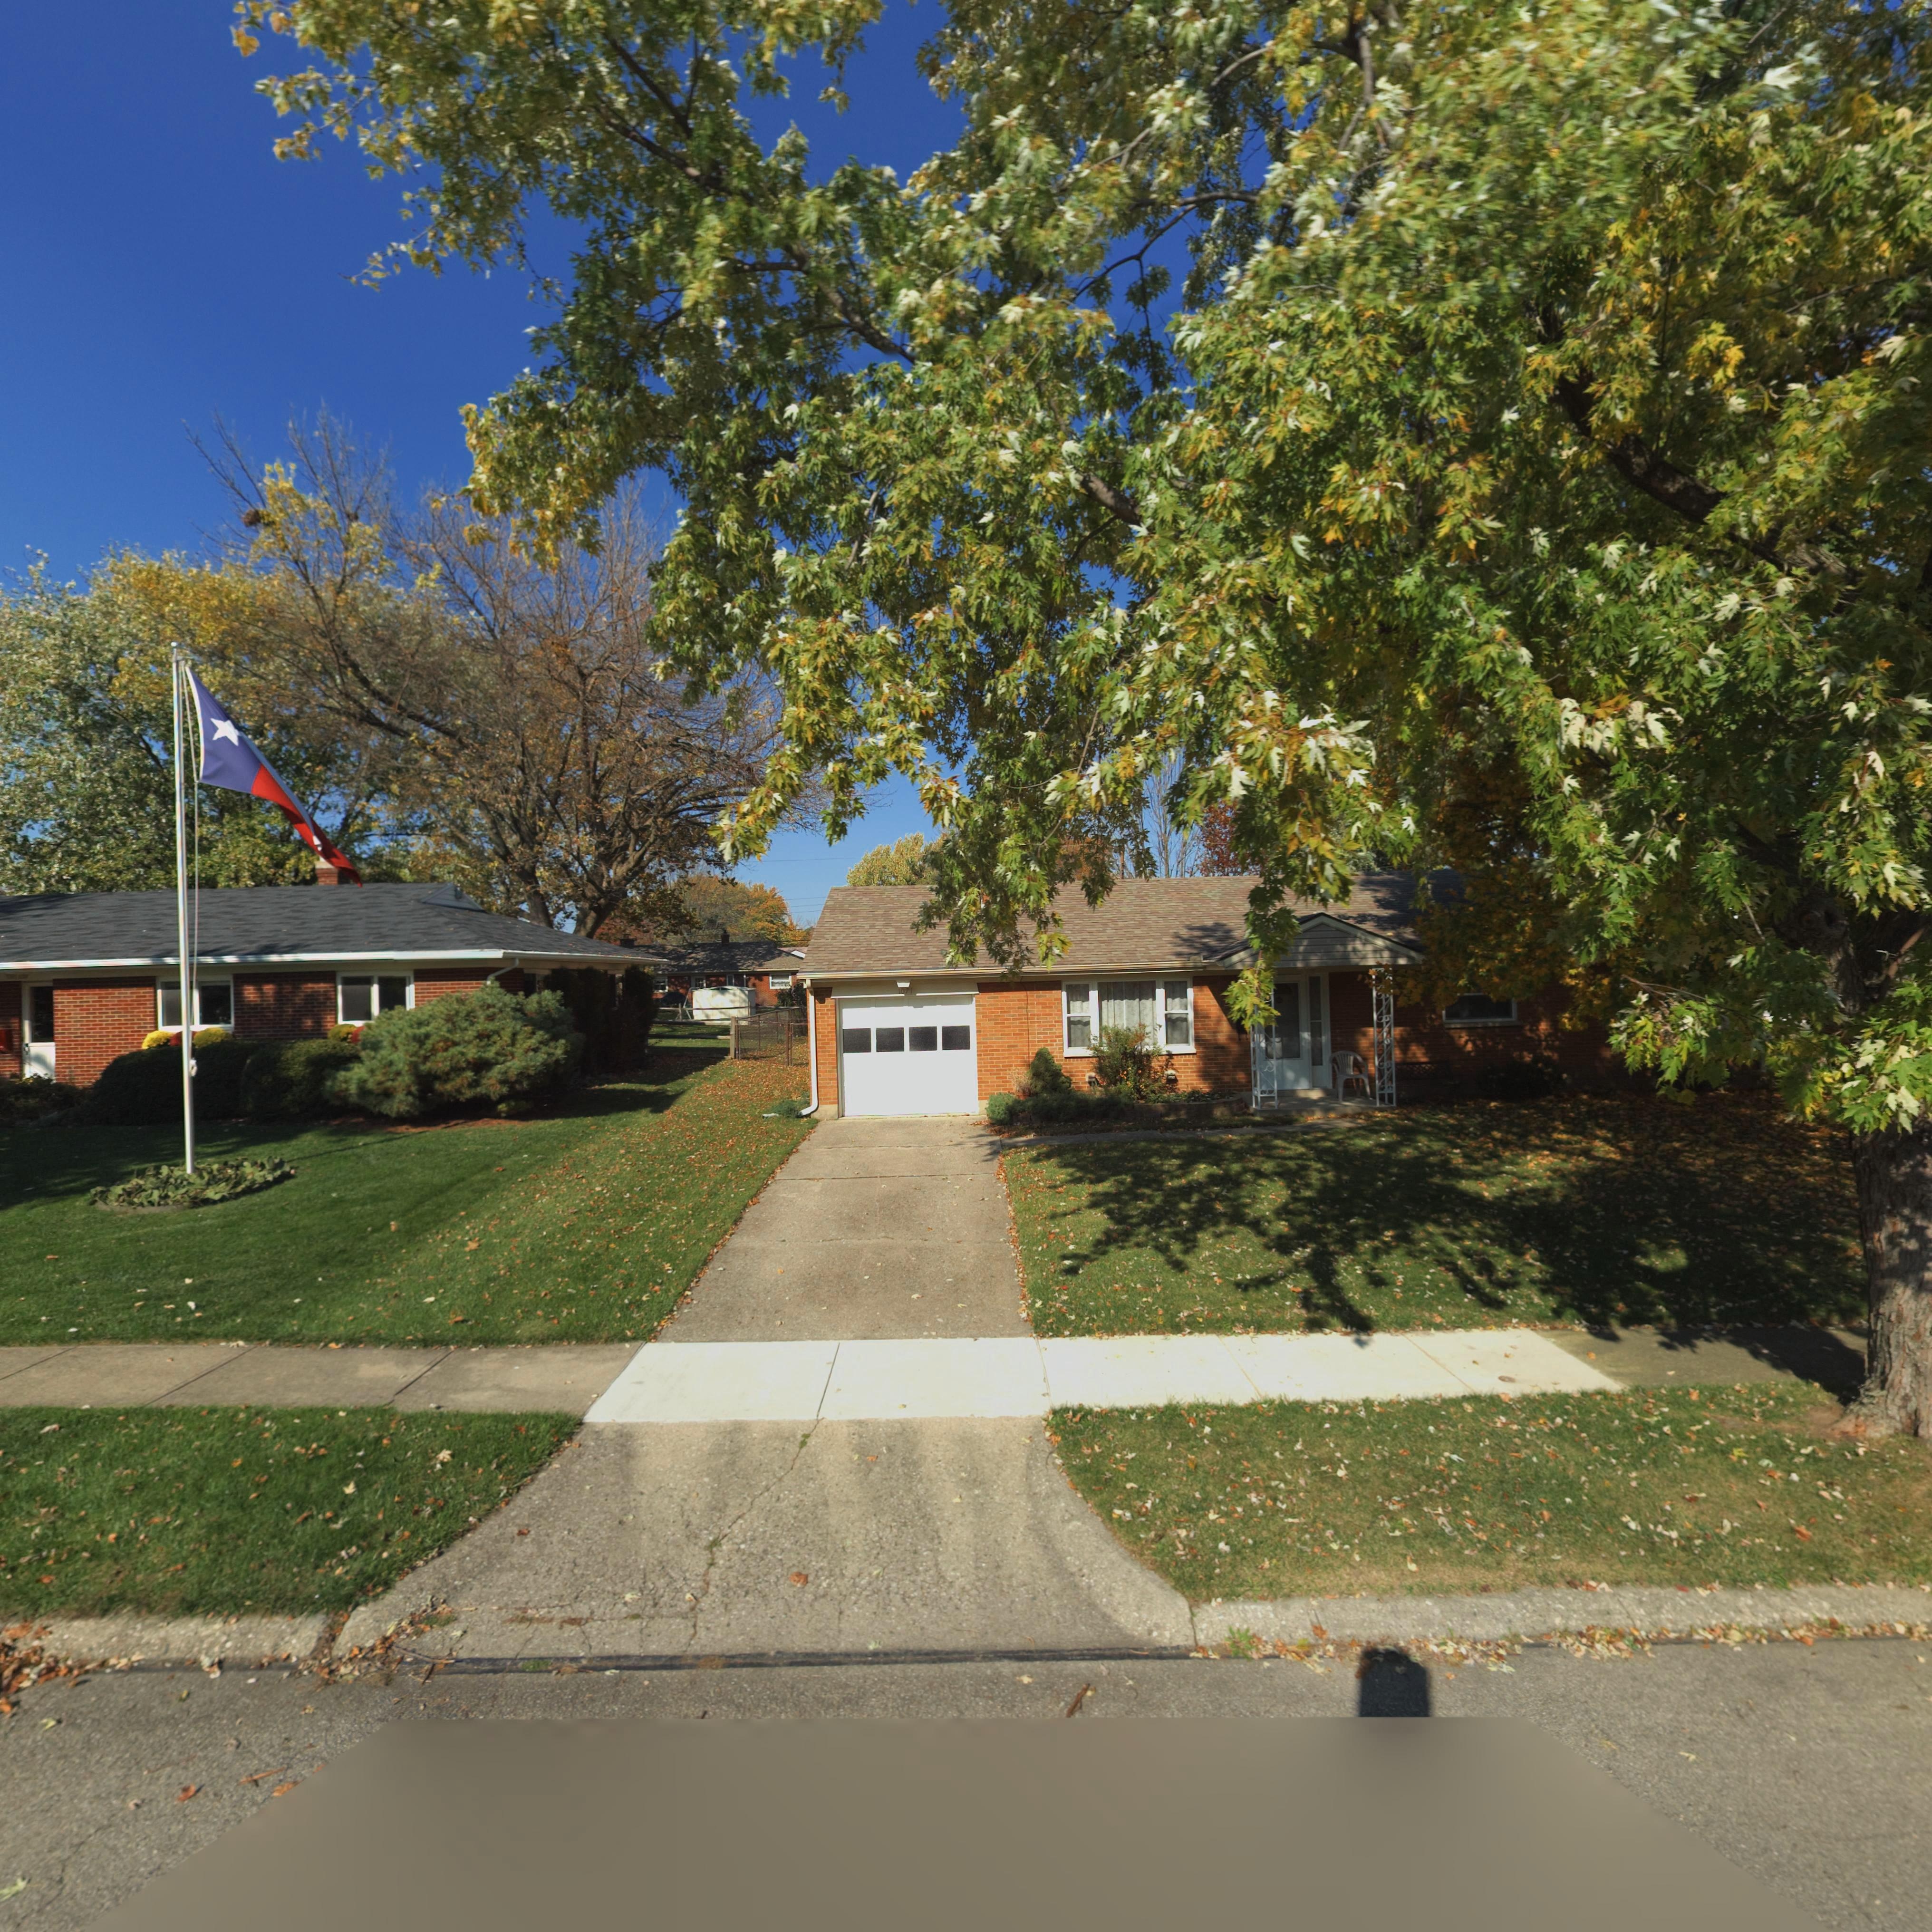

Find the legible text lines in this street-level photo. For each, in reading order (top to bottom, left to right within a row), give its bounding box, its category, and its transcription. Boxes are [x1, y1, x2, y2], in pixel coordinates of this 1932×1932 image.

[898, 987, 912, 994] StreetNumber: 1071